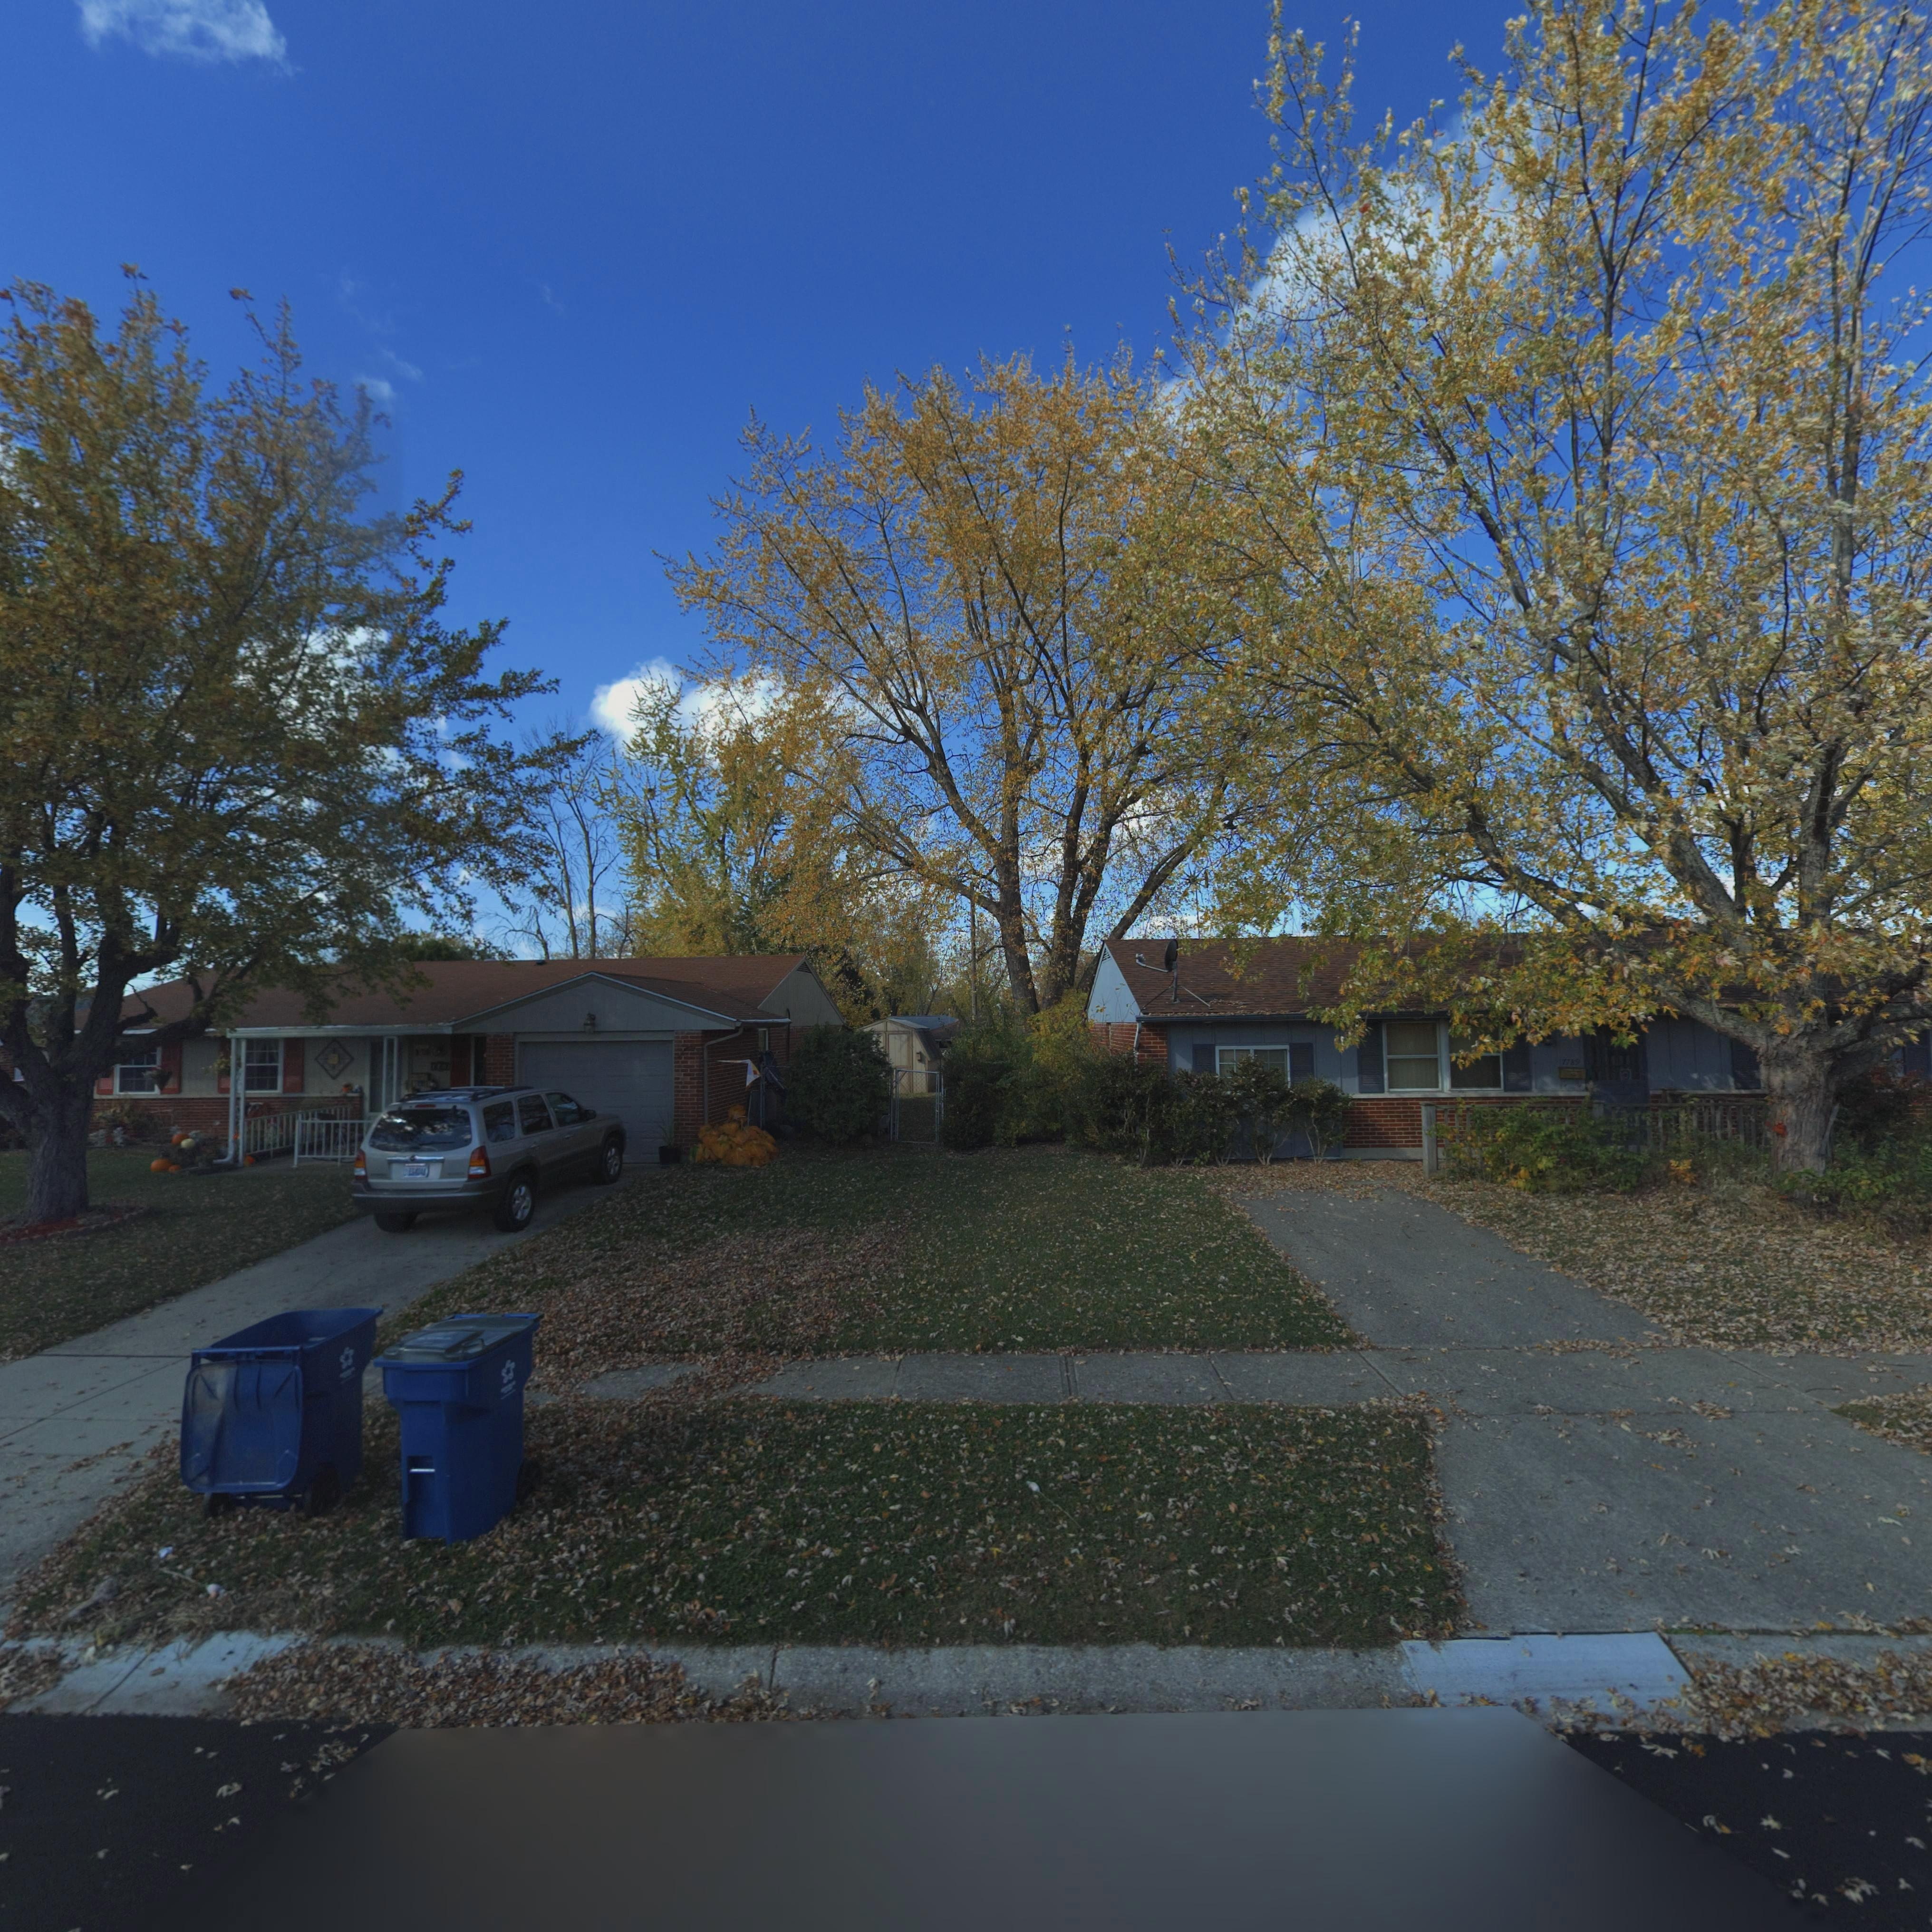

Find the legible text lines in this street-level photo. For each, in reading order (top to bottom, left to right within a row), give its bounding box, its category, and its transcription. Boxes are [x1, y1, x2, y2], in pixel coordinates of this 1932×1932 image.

[431, 1063, 451, 1071] StreetNumber: 780*